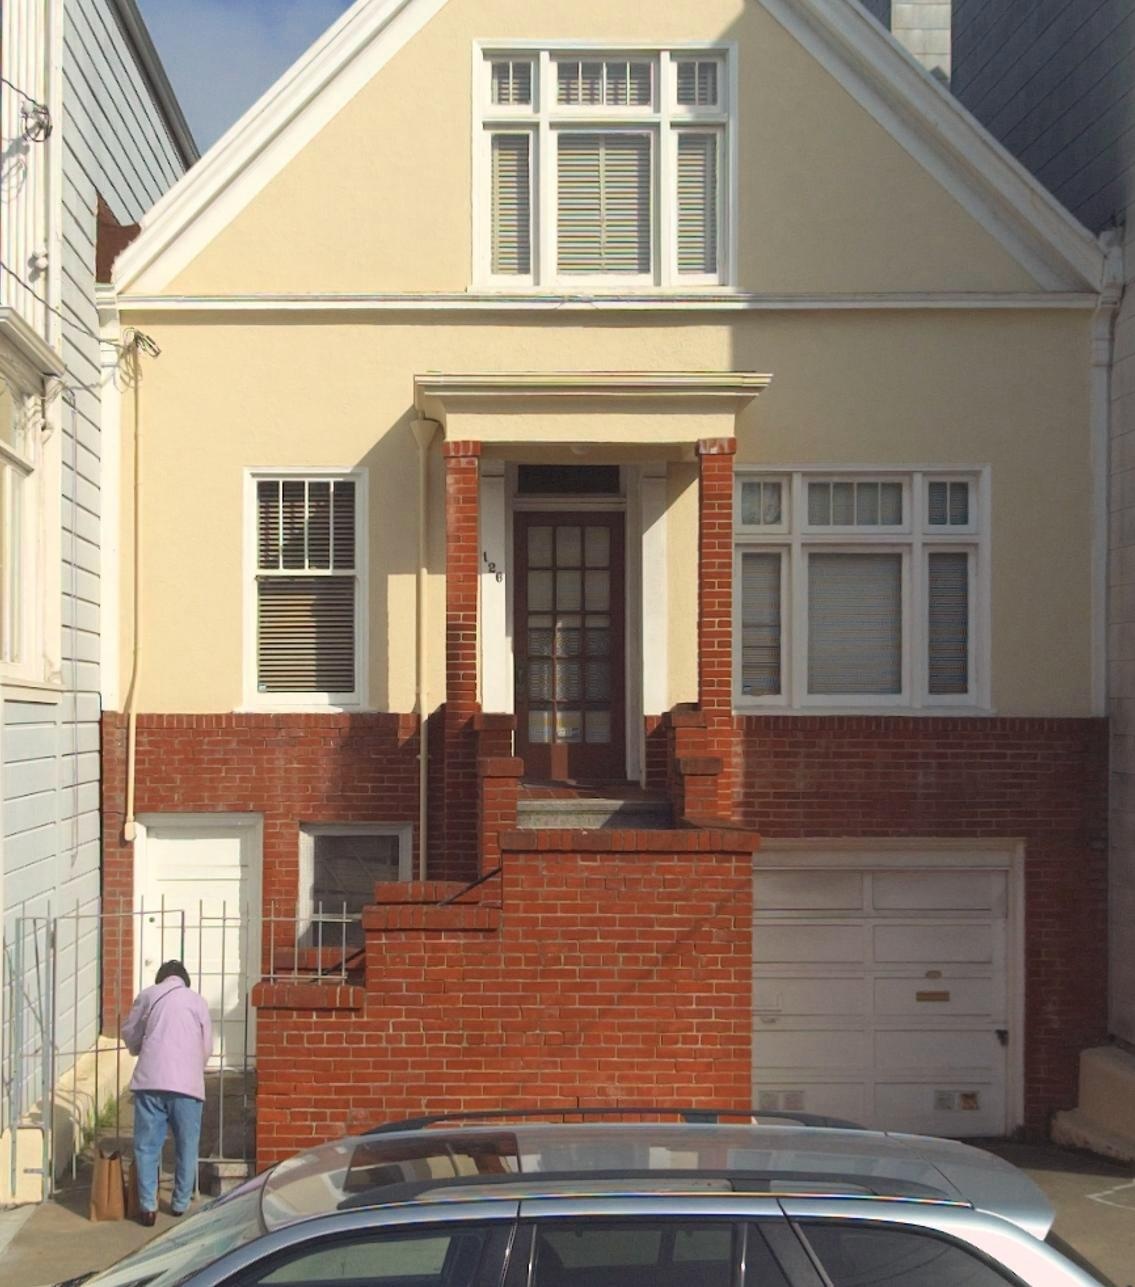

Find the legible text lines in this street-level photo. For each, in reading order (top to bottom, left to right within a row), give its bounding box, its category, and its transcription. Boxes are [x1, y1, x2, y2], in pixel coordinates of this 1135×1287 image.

[481, 549, 505, 585] StreetNumber: 126